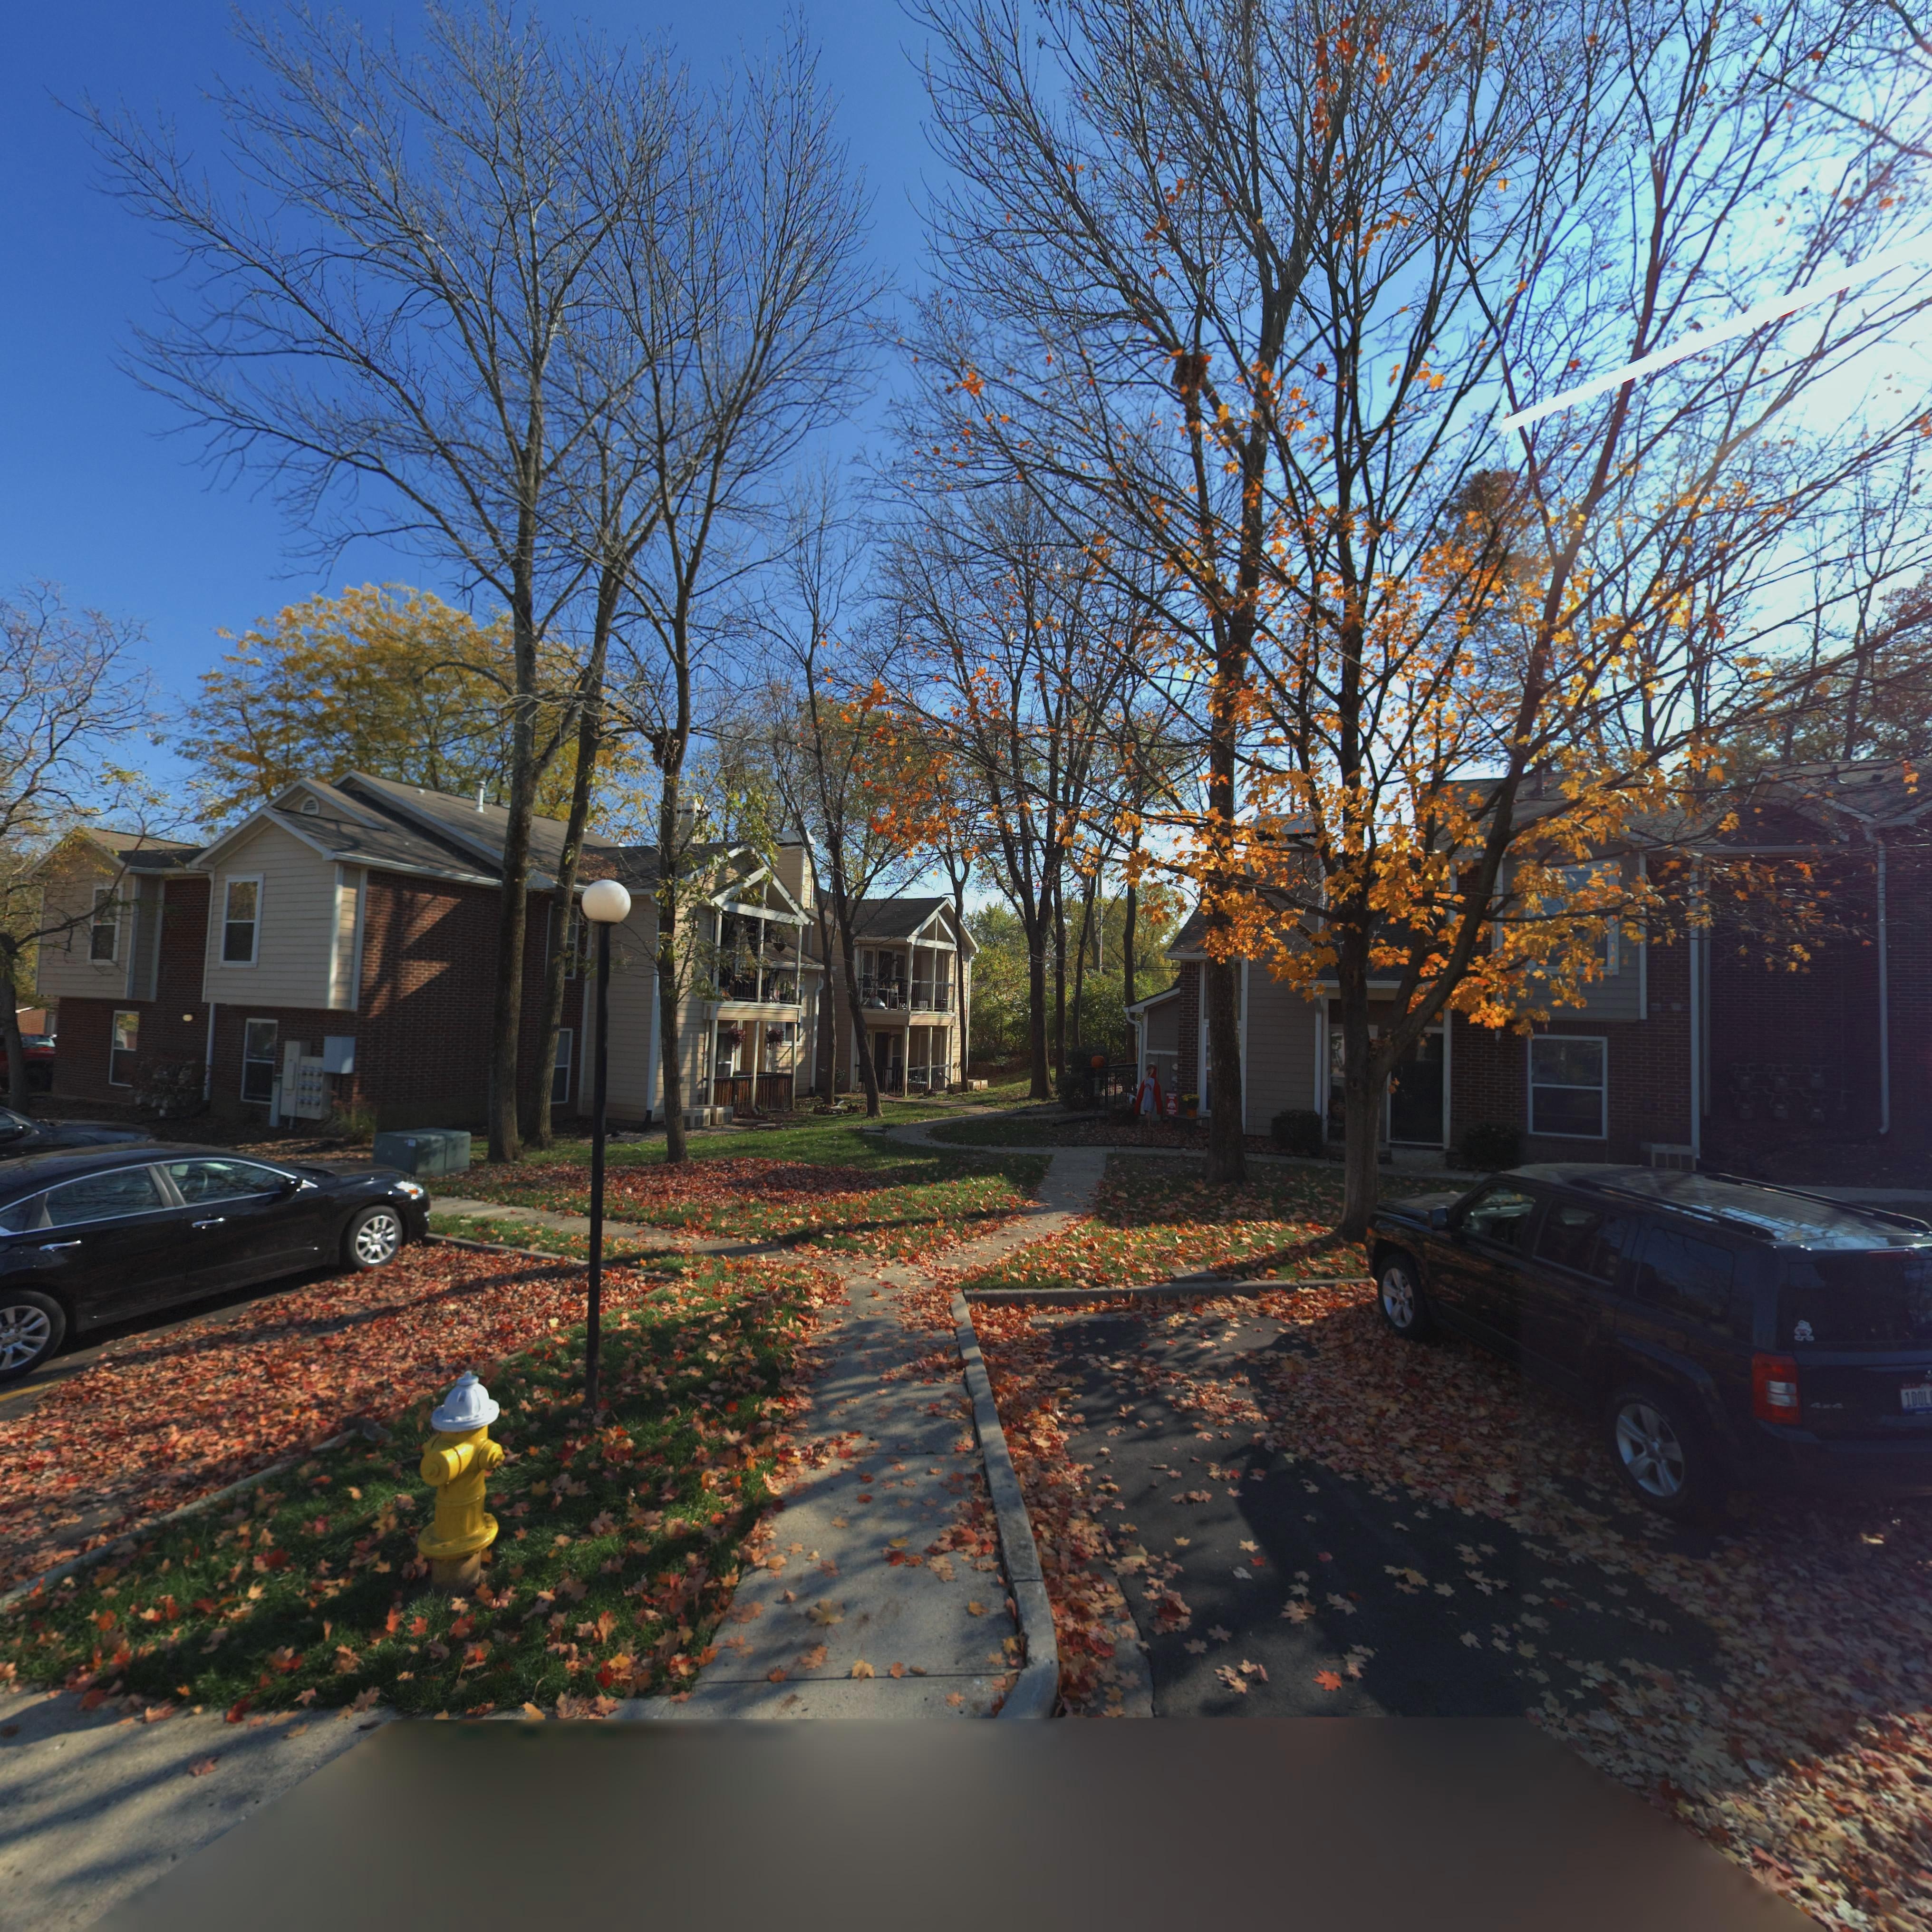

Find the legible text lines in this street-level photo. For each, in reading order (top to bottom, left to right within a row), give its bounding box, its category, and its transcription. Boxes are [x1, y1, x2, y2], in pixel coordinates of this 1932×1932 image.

[1903, 1389, 1932, 1409] None: 1DOL